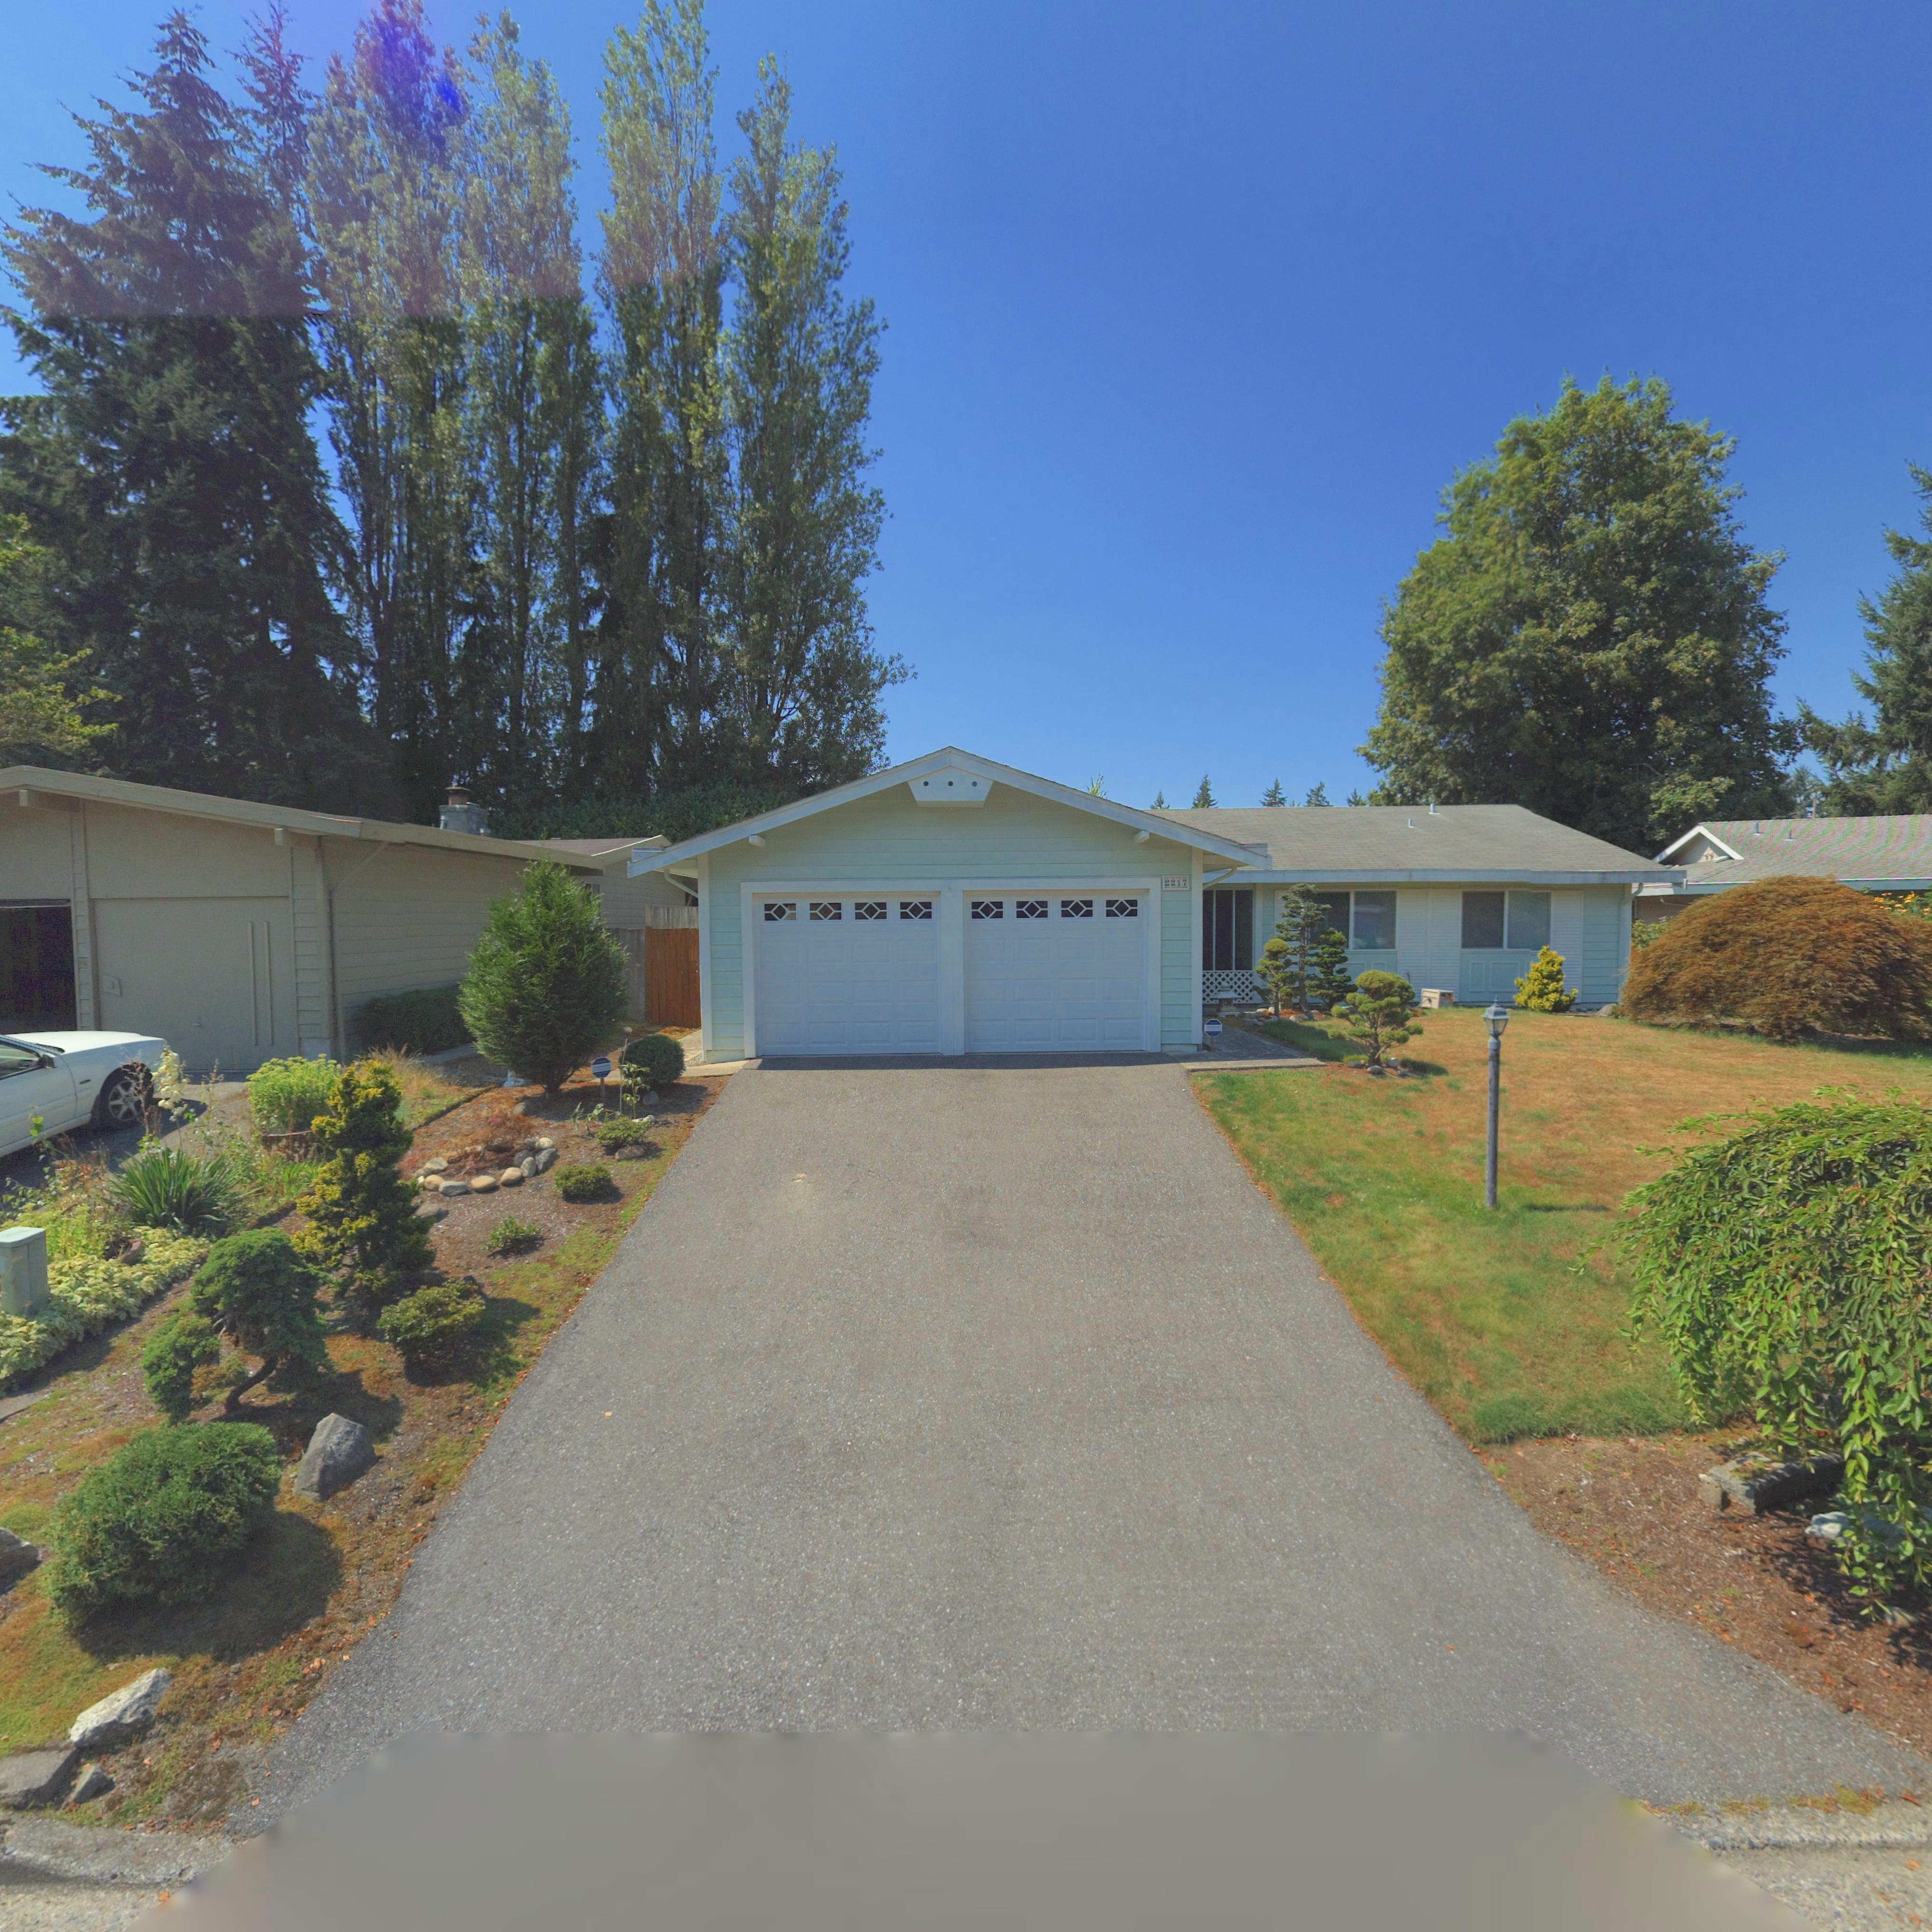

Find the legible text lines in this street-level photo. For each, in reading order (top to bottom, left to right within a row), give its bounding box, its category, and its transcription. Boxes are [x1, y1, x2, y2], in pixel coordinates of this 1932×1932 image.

[1164, 879, 1188, 886] StreetNumber: 2217